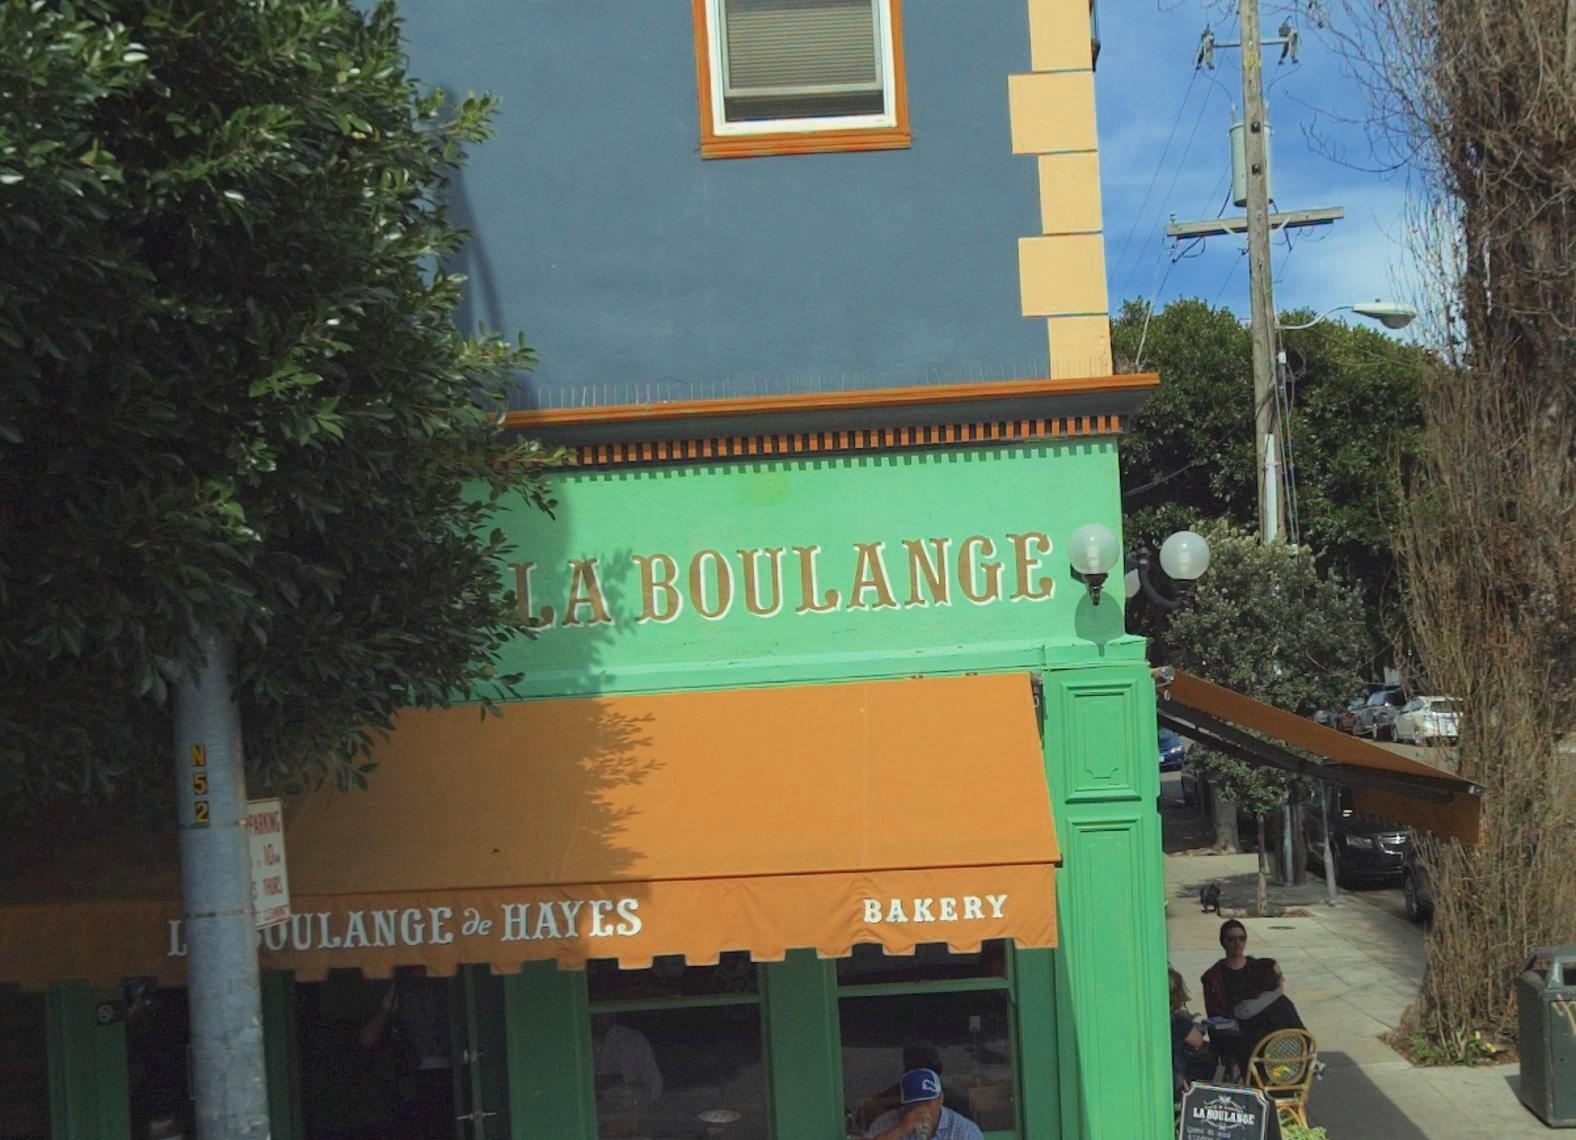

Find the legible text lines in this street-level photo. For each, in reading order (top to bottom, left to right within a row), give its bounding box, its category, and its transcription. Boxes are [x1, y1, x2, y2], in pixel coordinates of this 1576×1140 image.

[503, 529, 1058, 635] BusinessName: LA BOULANGE
[191, 743, 211, 826] None: N52
[161, 894, 646, 959] BusinessName: L**ULANGE de HAYES
[860, 890, 1015, 928] None: BAKERY
[1190, 1104, 1257, 1130] BusinessName: LA BOULANGE